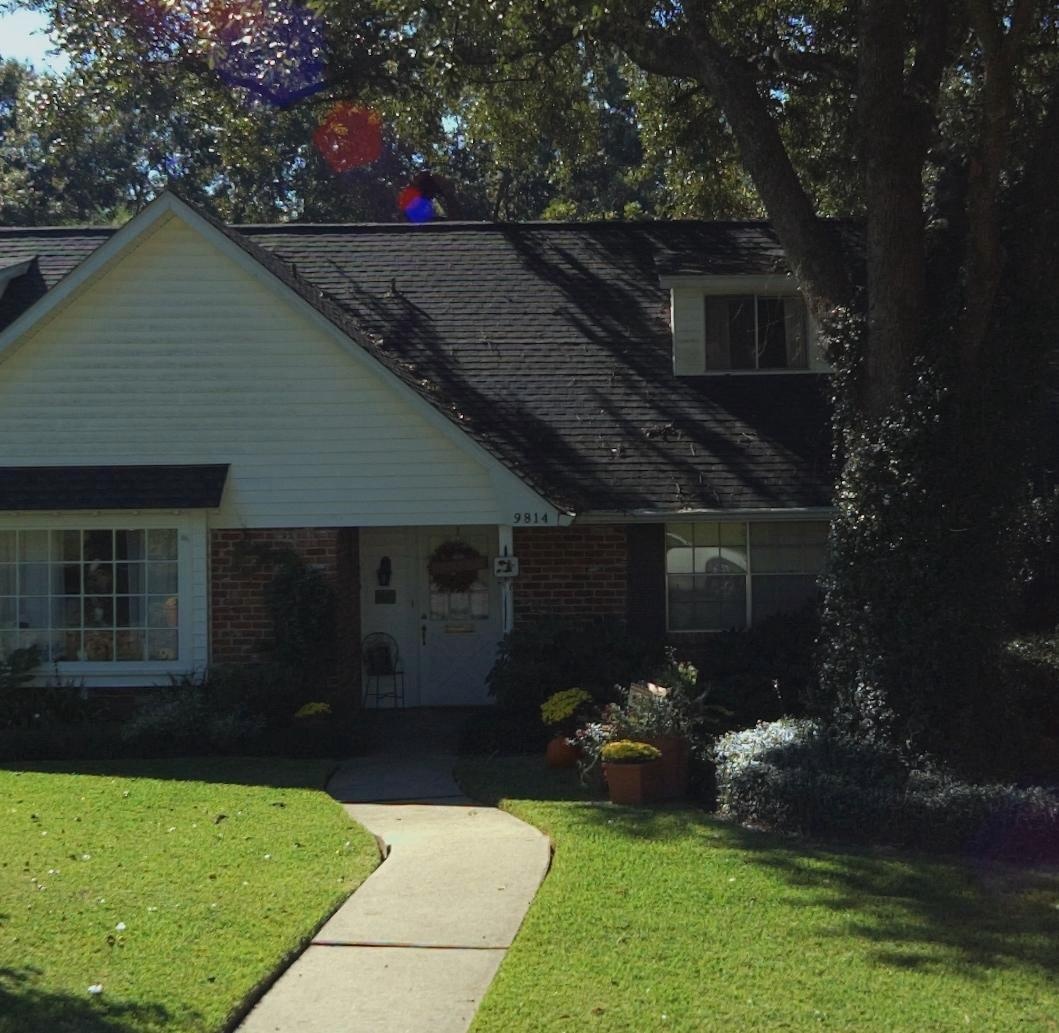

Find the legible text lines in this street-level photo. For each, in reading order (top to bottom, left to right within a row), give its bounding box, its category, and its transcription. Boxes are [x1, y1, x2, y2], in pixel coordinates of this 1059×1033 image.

[511, 510, 550, 526] StreetNumber: 9814